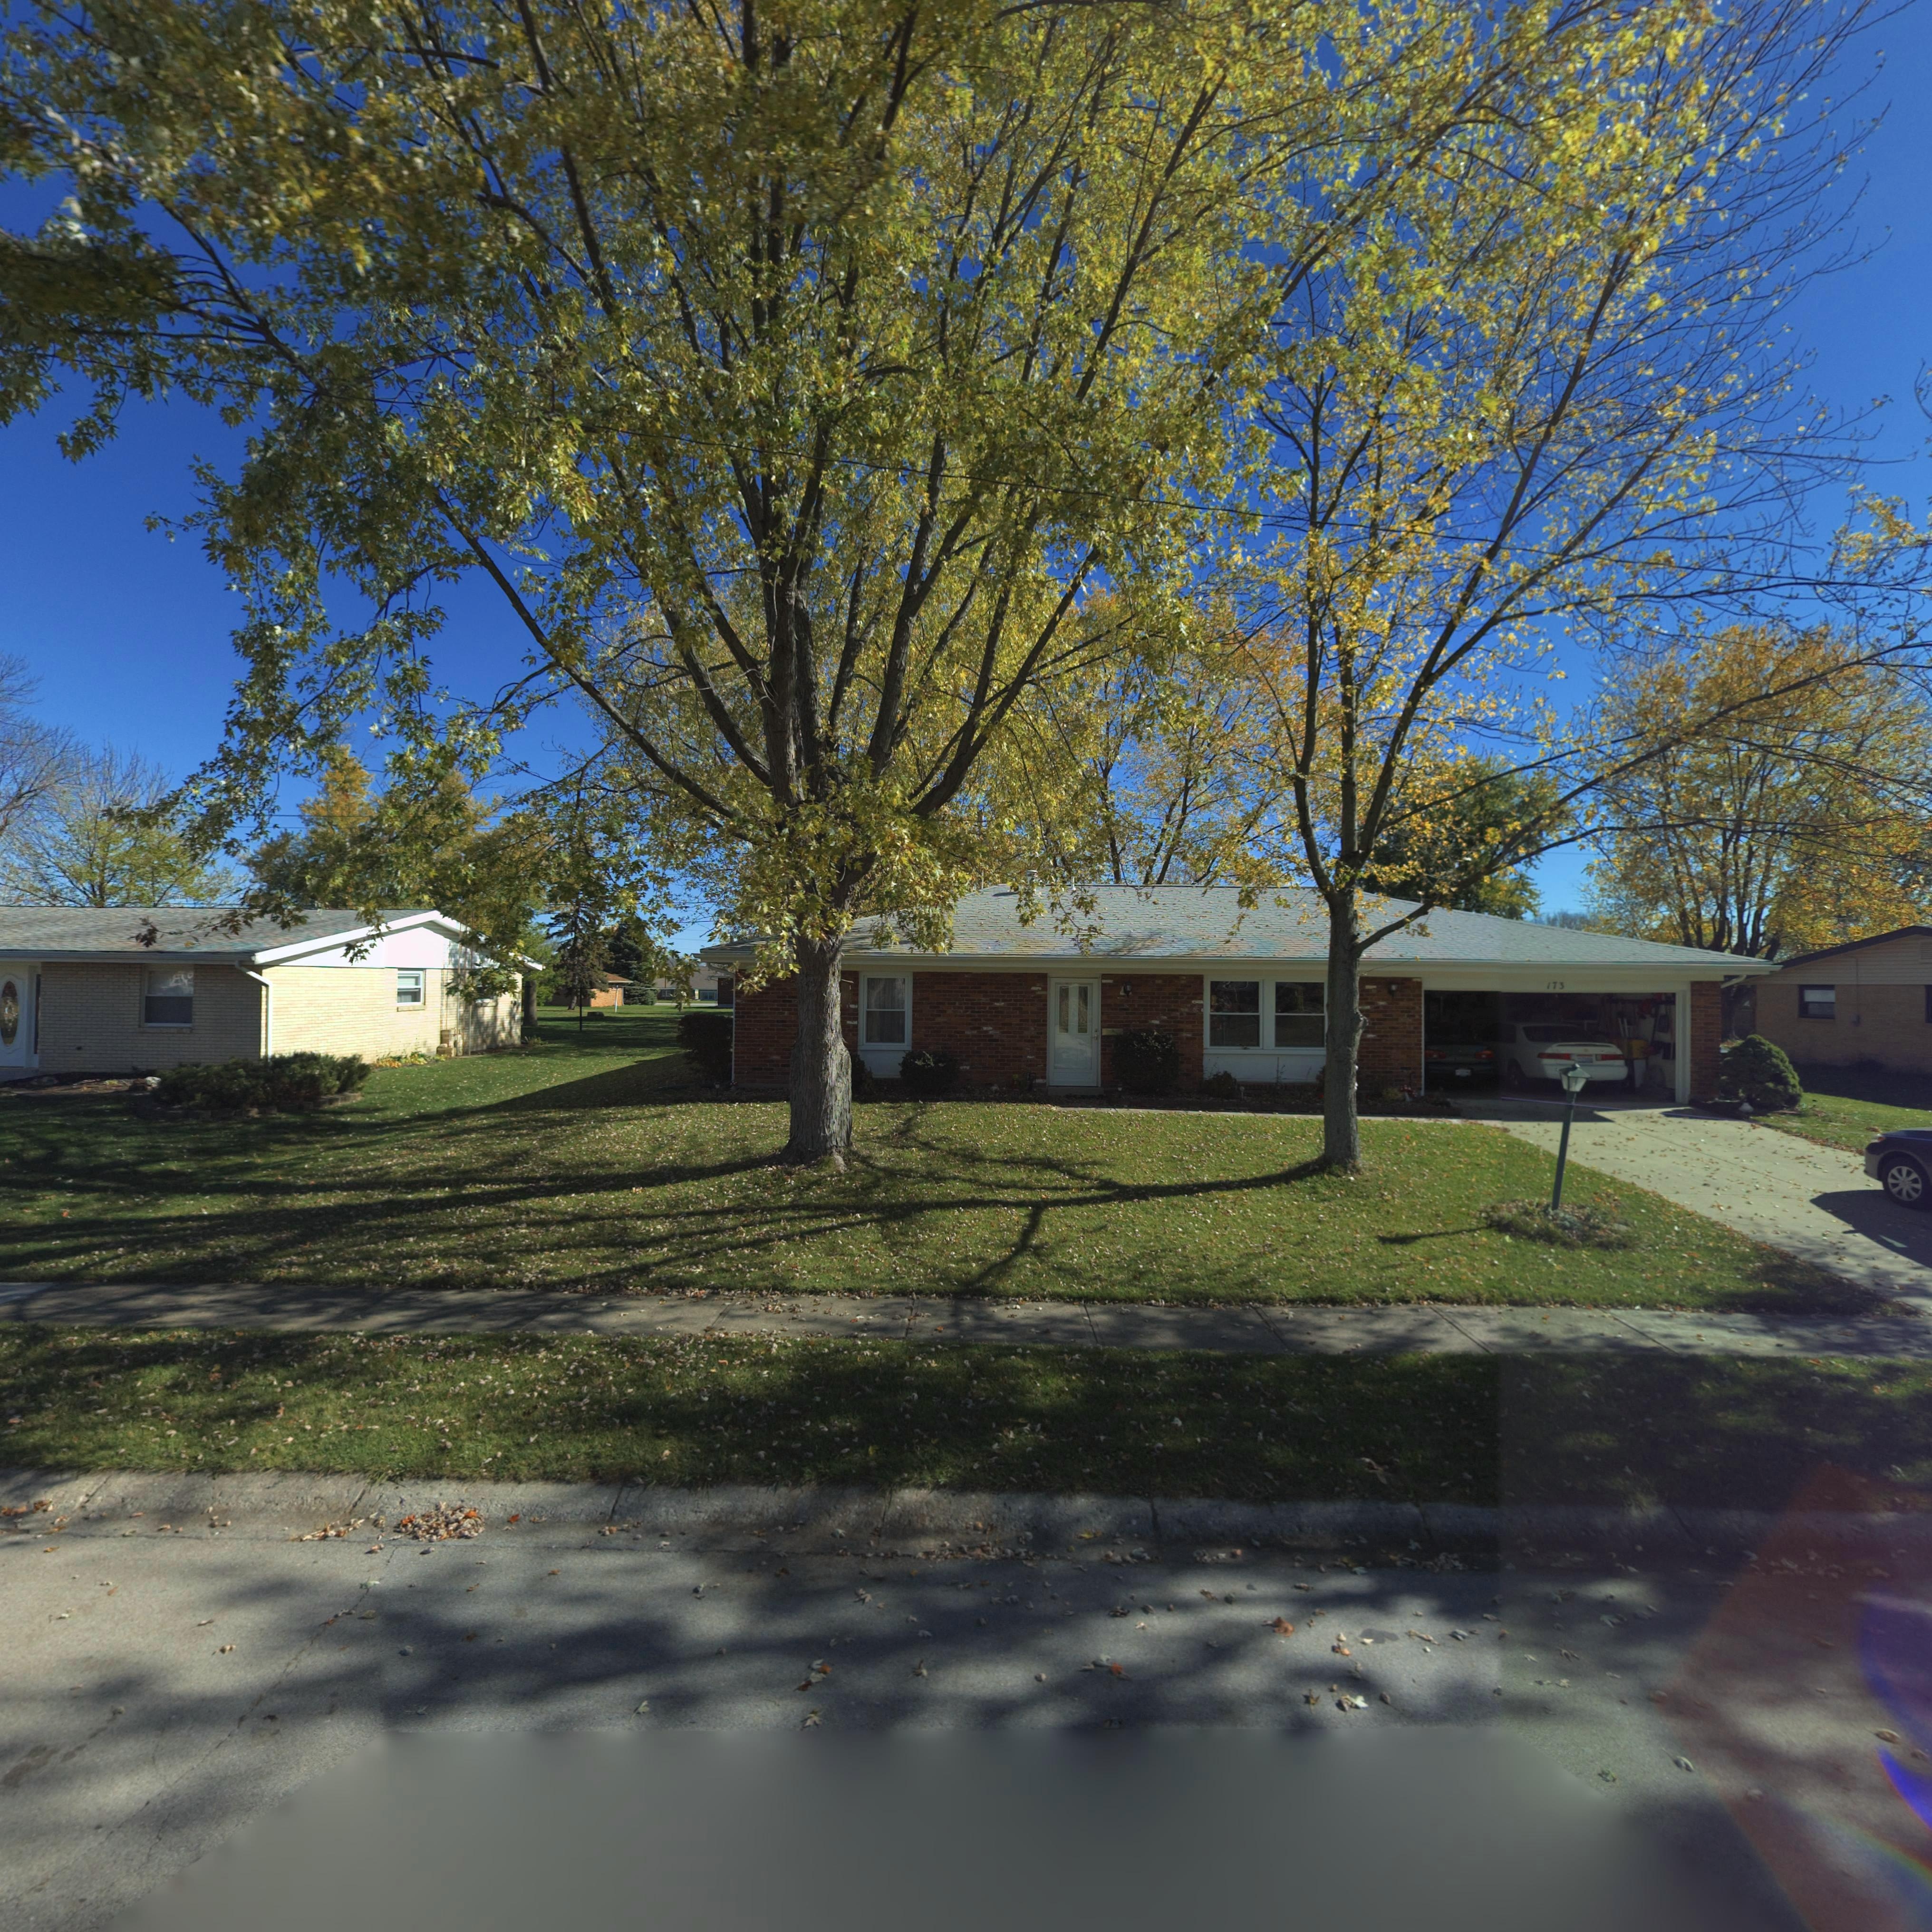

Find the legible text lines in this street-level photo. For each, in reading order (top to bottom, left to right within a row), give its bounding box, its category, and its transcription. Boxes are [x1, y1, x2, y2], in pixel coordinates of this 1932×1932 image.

[1545, 980, 1565, 991] StreetNumber: 173